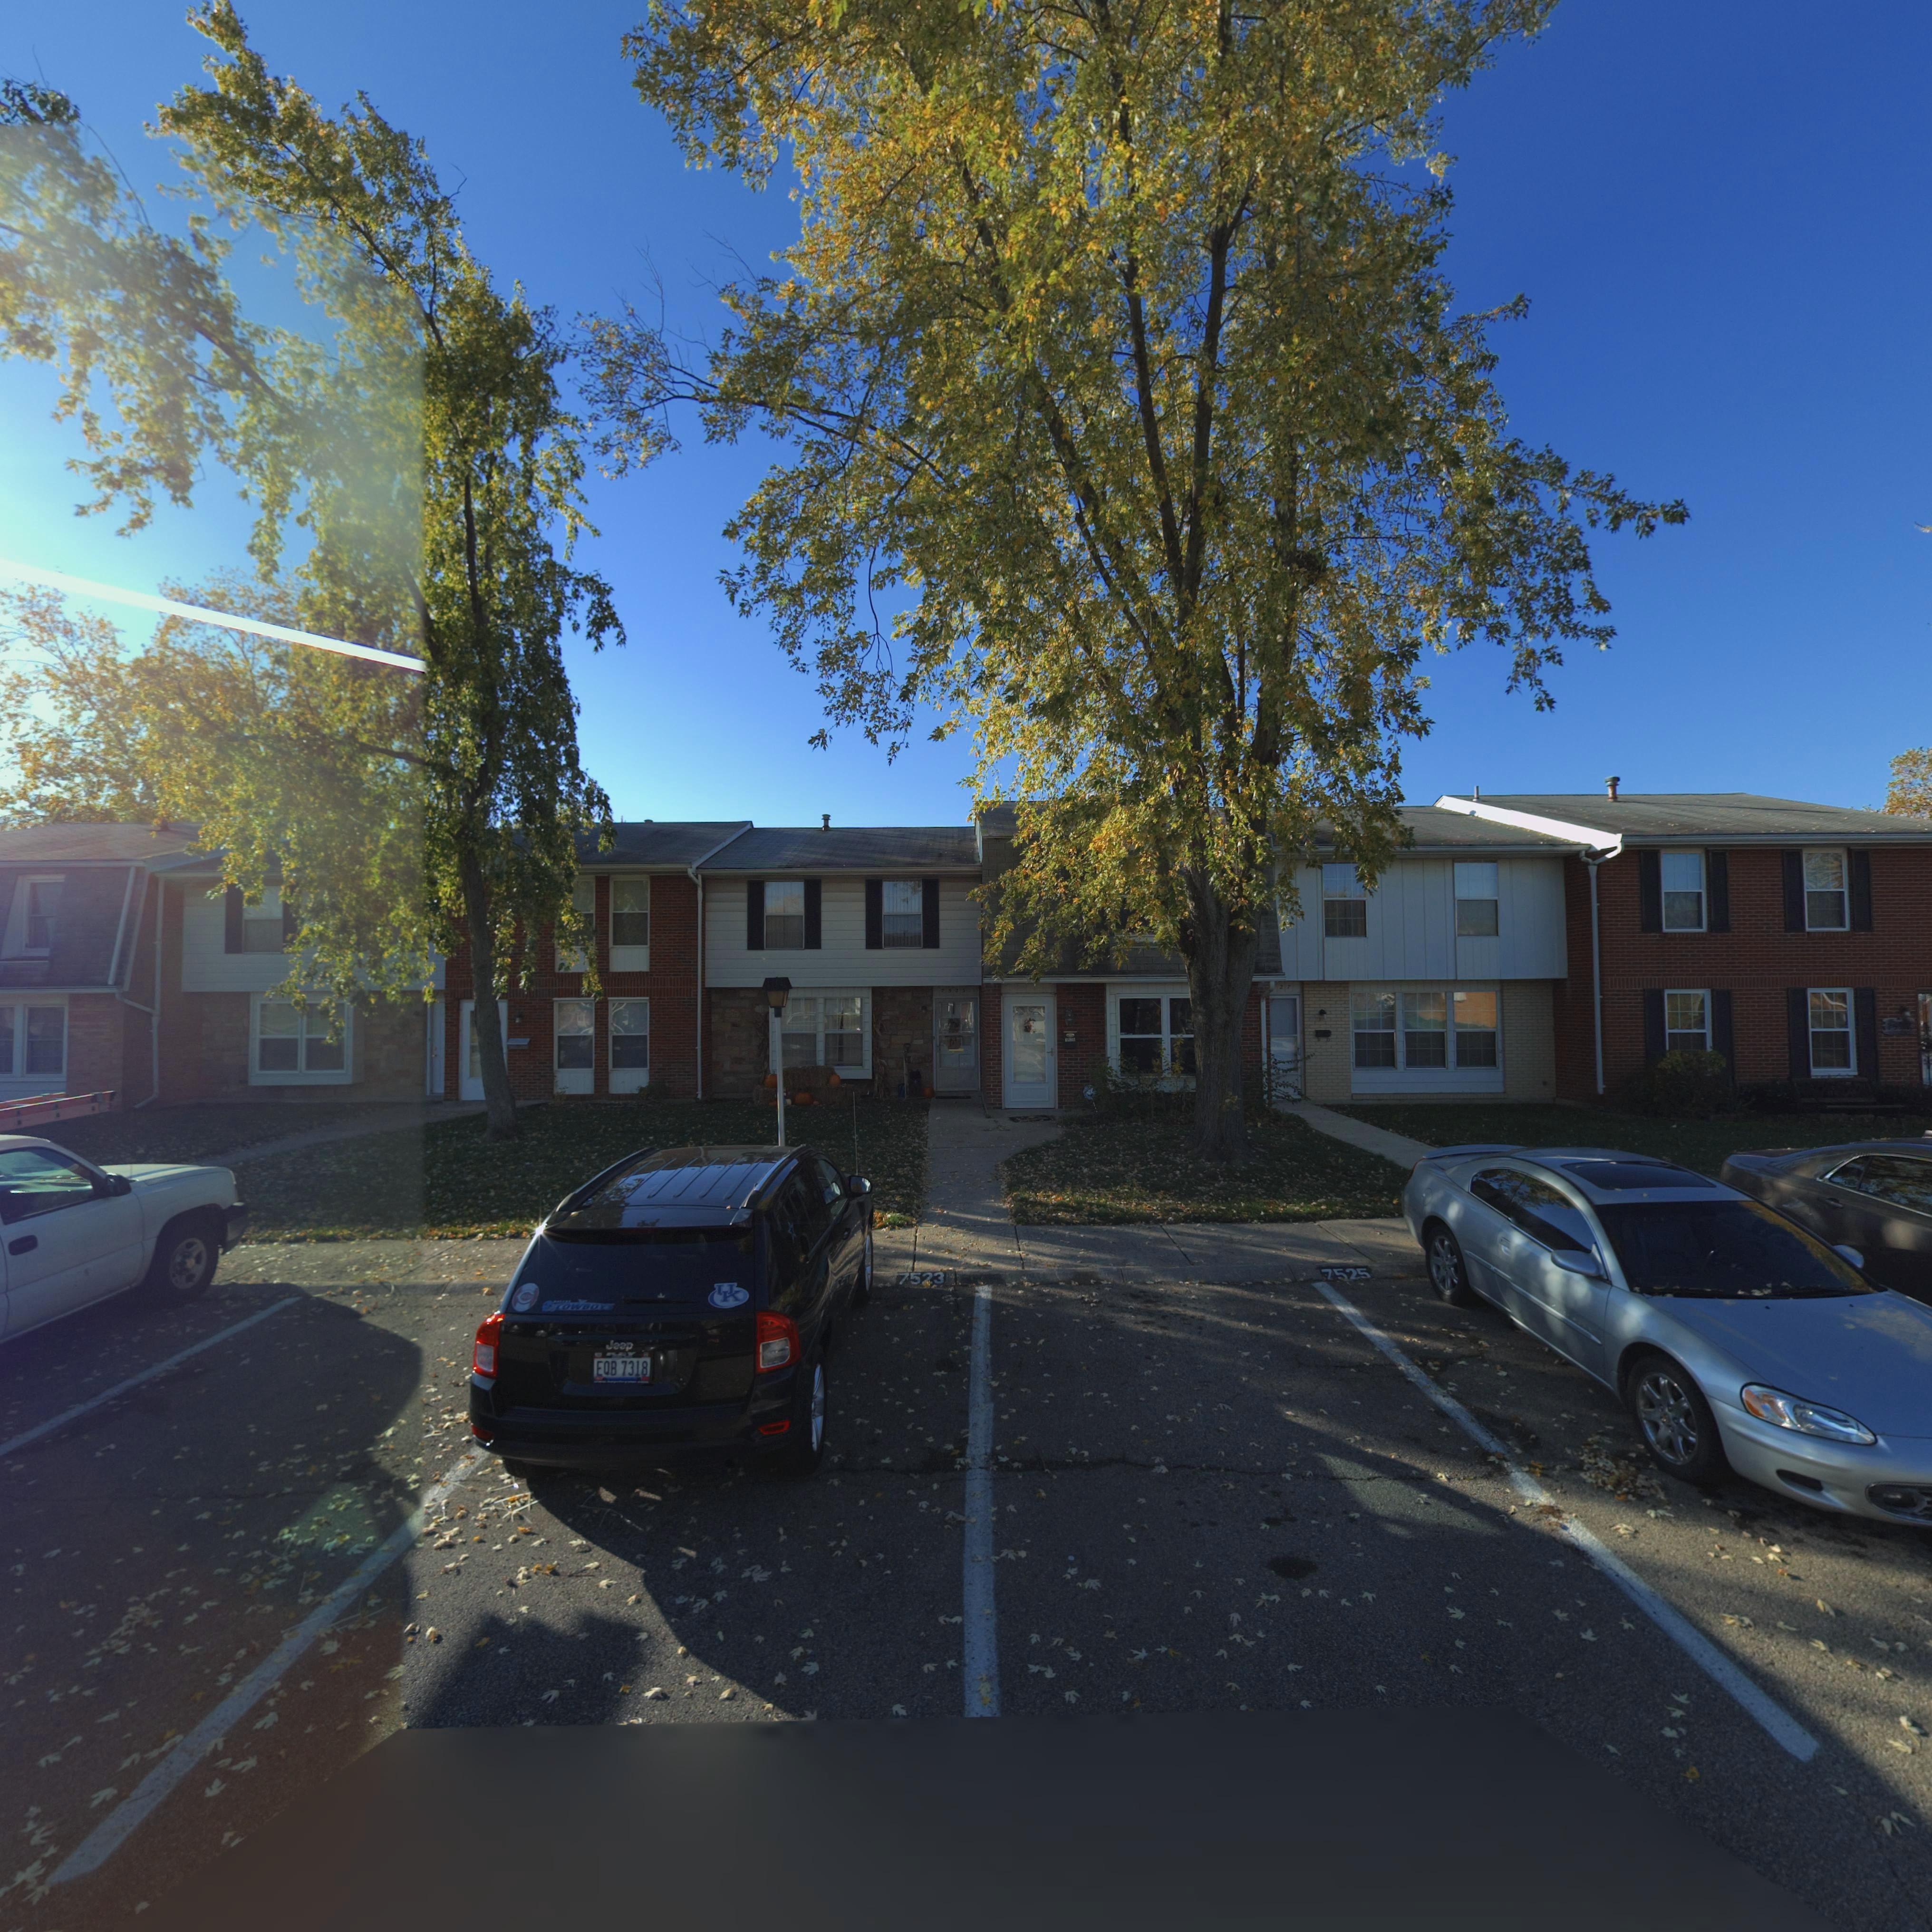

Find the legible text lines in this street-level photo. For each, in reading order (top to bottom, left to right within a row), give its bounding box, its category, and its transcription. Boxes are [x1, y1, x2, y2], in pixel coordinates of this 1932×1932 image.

[940, 988, 966, 993] StreetNumber: 7523
[1279, 984, 1292, 989] StreetNumber: 27
[1886, 1022, 1898, 1031] StreetNumber: 75
[1070, 1038, 1072, 1042] StreetNumber: 2
[897, 1271, 946, 1285] StreetNumber: 7523
[1319, 1267, 1372, 1281] StreetNumber: 7525